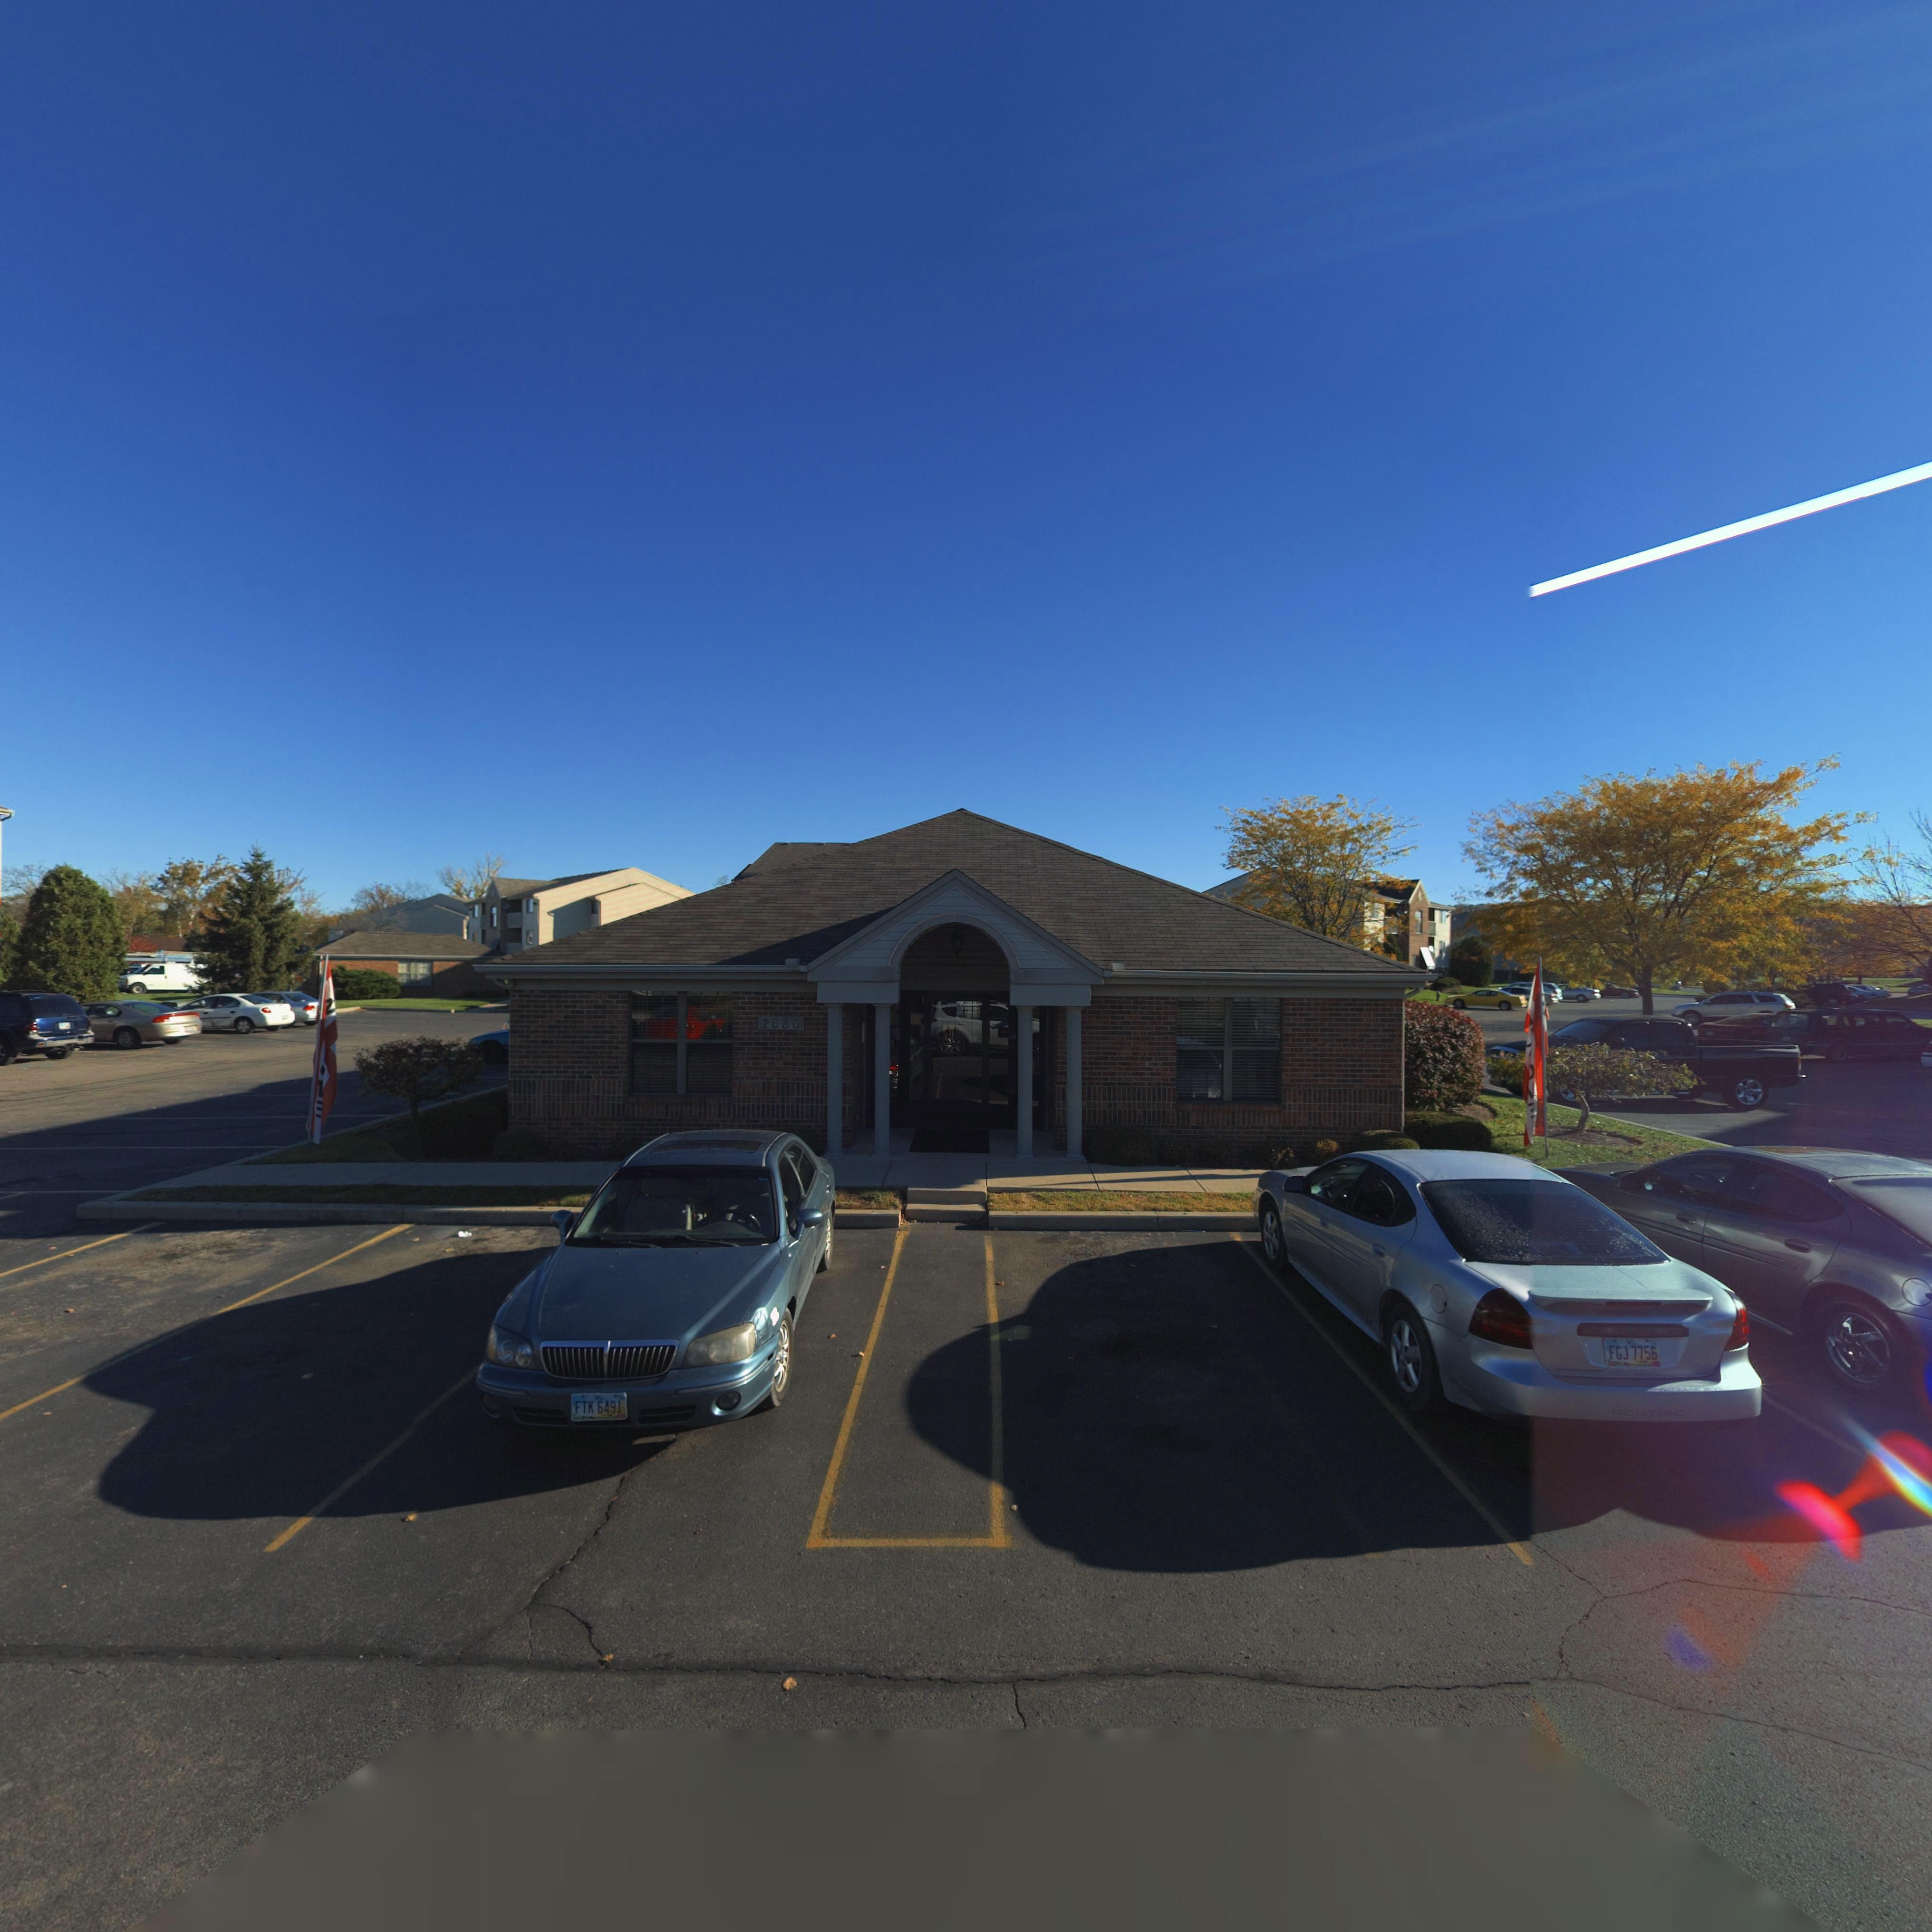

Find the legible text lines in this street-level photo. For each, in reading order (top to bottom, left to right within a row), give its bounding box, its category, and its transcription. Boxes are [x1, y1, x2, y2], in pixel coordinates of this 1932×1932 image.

[762, 1018, 800, 1028] StreetNumber: 2686